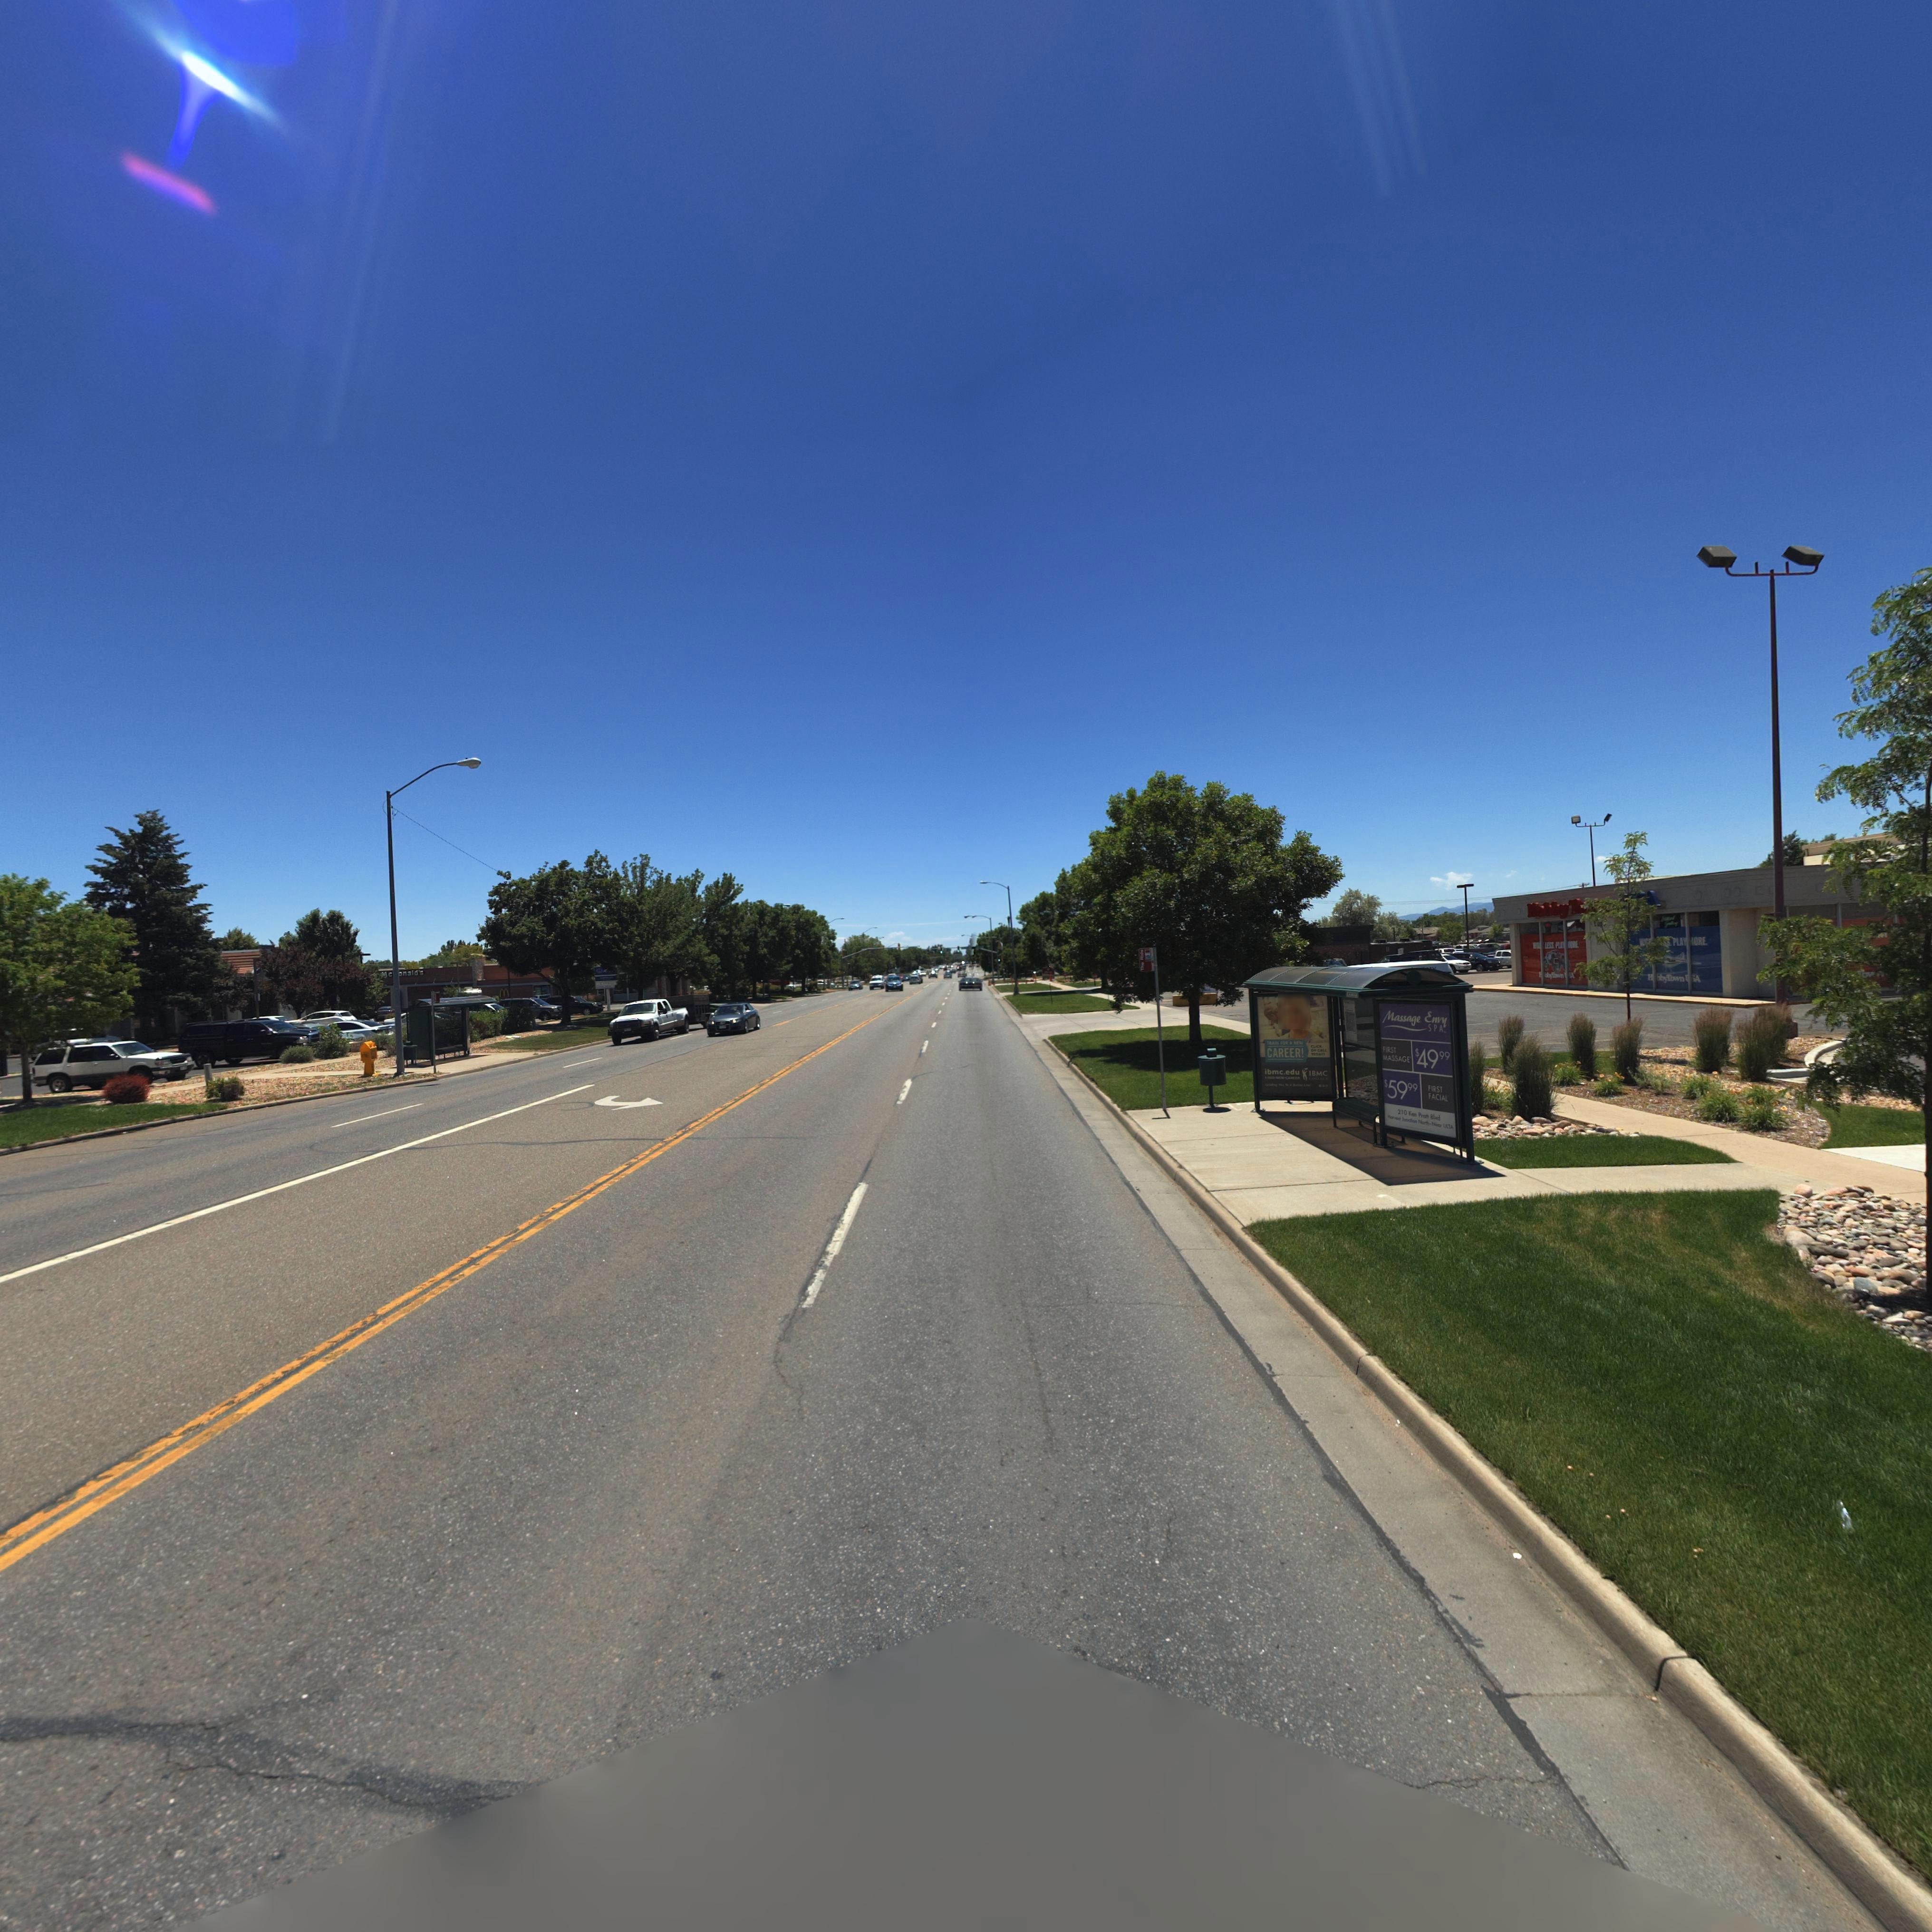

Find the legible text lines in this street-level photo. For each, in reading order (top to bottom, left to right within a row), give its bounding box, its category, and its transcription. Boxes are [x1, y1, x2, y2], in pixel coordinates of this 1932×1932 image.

[1525, 897, 1582, 919] BusinessName: Hobby T
[381, 969, 424, 978] BusinessName: Mc*onald's
[1538, 971, 1575, 979] None: HobbyTown*SA
[1647, 973, 1701, 984] BusinessName: H*bbyTown*SA
[1397, 1108, 1407, 1115] StreetNumber: 210
[1408, 1110, 1440, 1121] StreetName: Ken Pratt Blvd